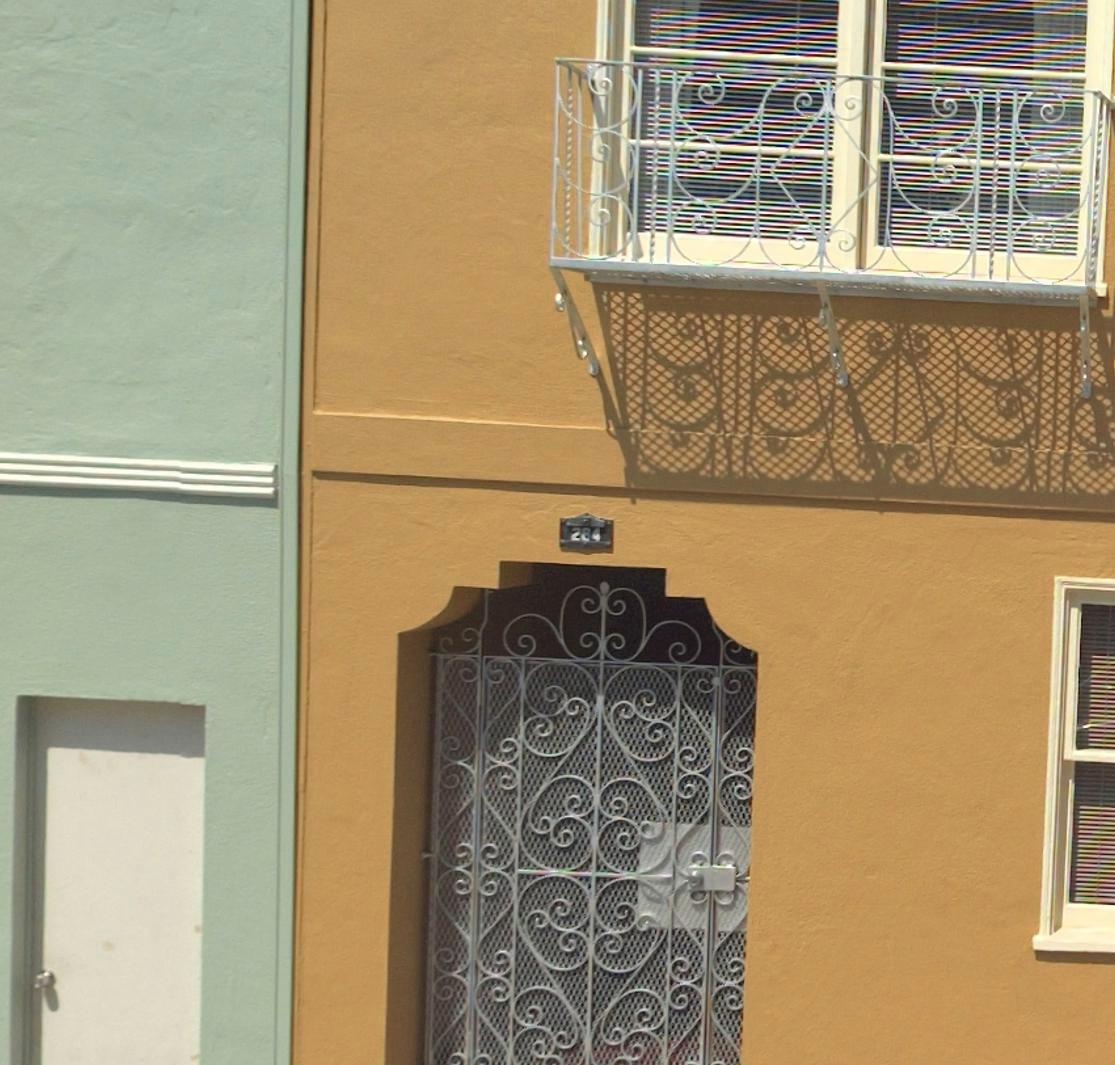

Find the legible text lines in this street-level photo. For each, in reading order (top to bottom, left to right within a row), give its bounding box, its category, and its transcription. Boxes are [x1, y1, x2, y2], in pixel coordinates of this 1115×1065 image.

[570, 527, 603, 544] StreetNumber: 284